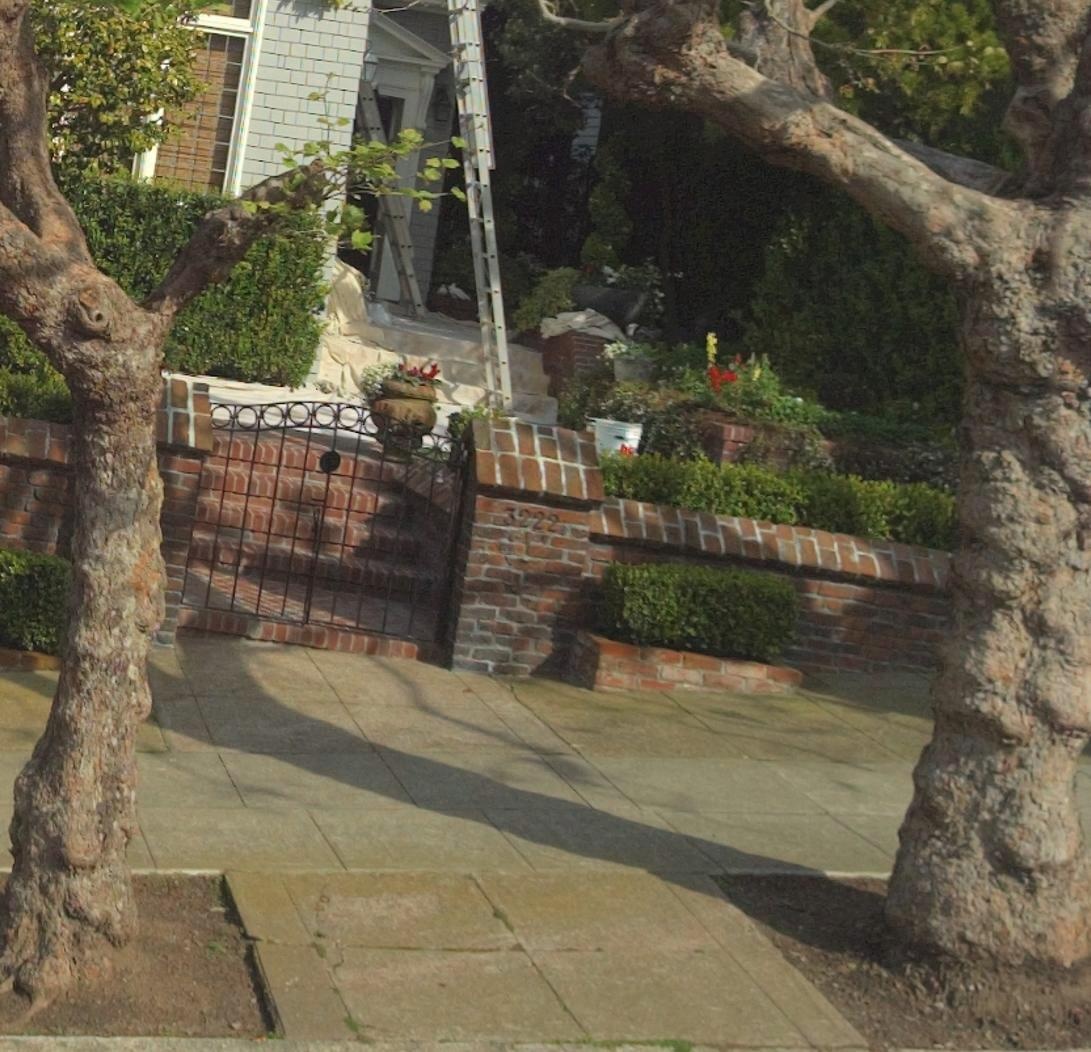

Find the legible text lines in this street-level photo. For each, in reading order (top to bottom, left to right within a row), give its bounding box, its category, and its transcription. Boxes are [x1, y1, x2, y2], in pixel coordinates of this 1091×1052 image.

[498, 502, 565, 536] StreetNumber: 3222